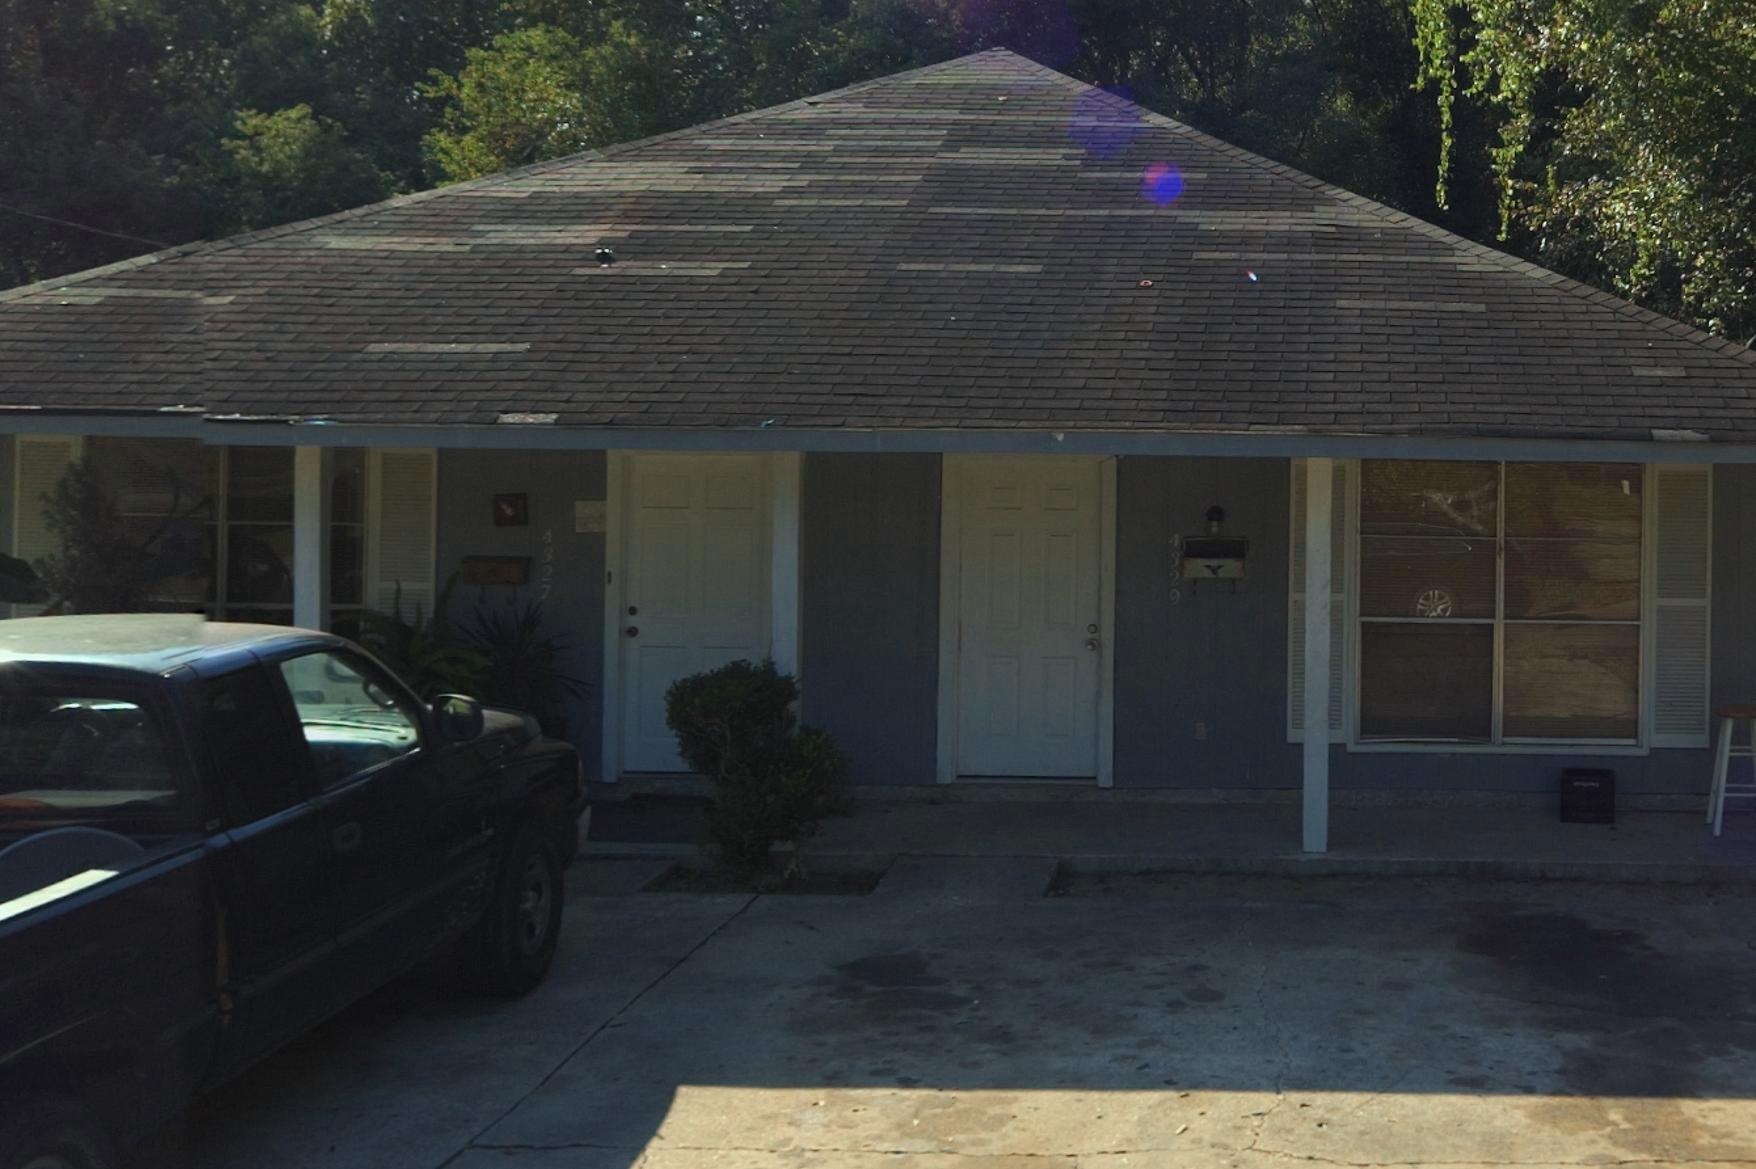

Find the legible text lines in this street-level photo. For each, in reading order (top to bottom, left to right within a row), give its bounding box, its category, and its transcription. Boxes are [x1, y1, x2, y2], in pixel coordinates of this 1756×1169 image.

[539, 526, 554, 601] StreetNumber: 4327
[1168, 532, 1181, 607] StreetNumber: 4329